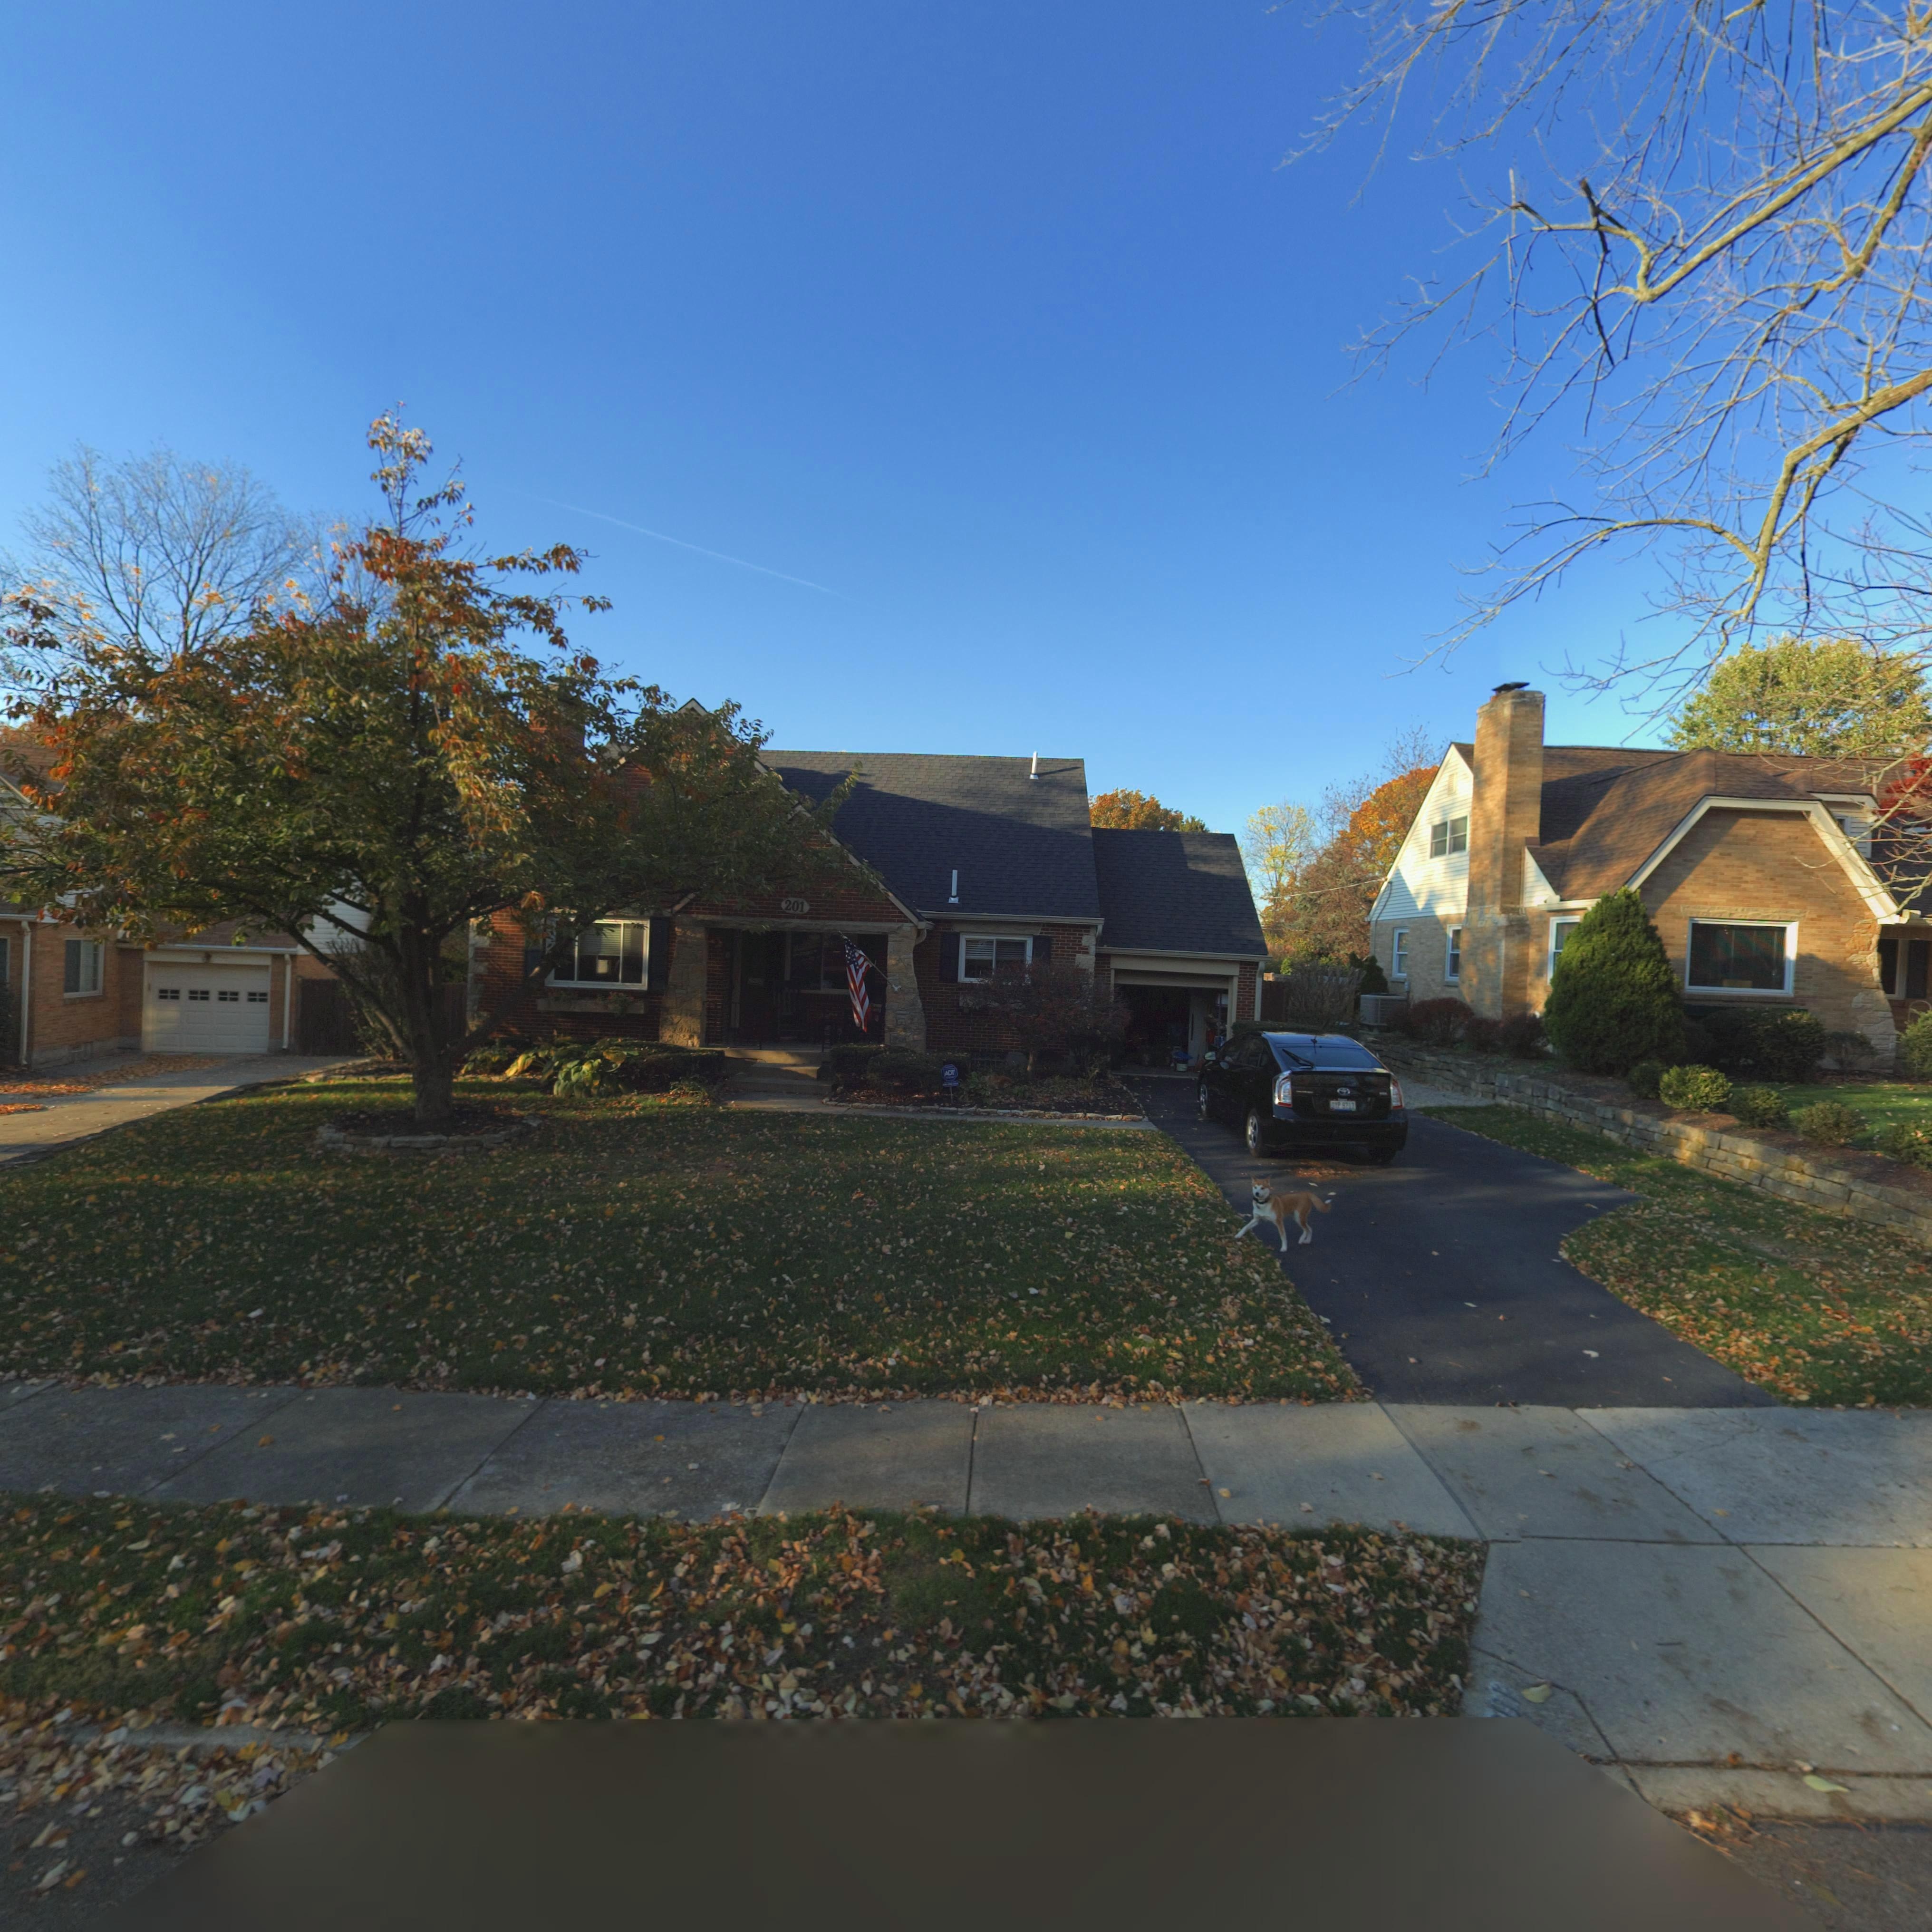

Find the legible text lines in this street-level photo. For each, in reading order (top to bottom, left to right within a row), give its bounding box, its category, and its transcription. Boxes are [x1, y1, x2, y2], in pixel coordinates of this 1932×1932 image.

[783, 898, 806, 914] StreetNumber: 201